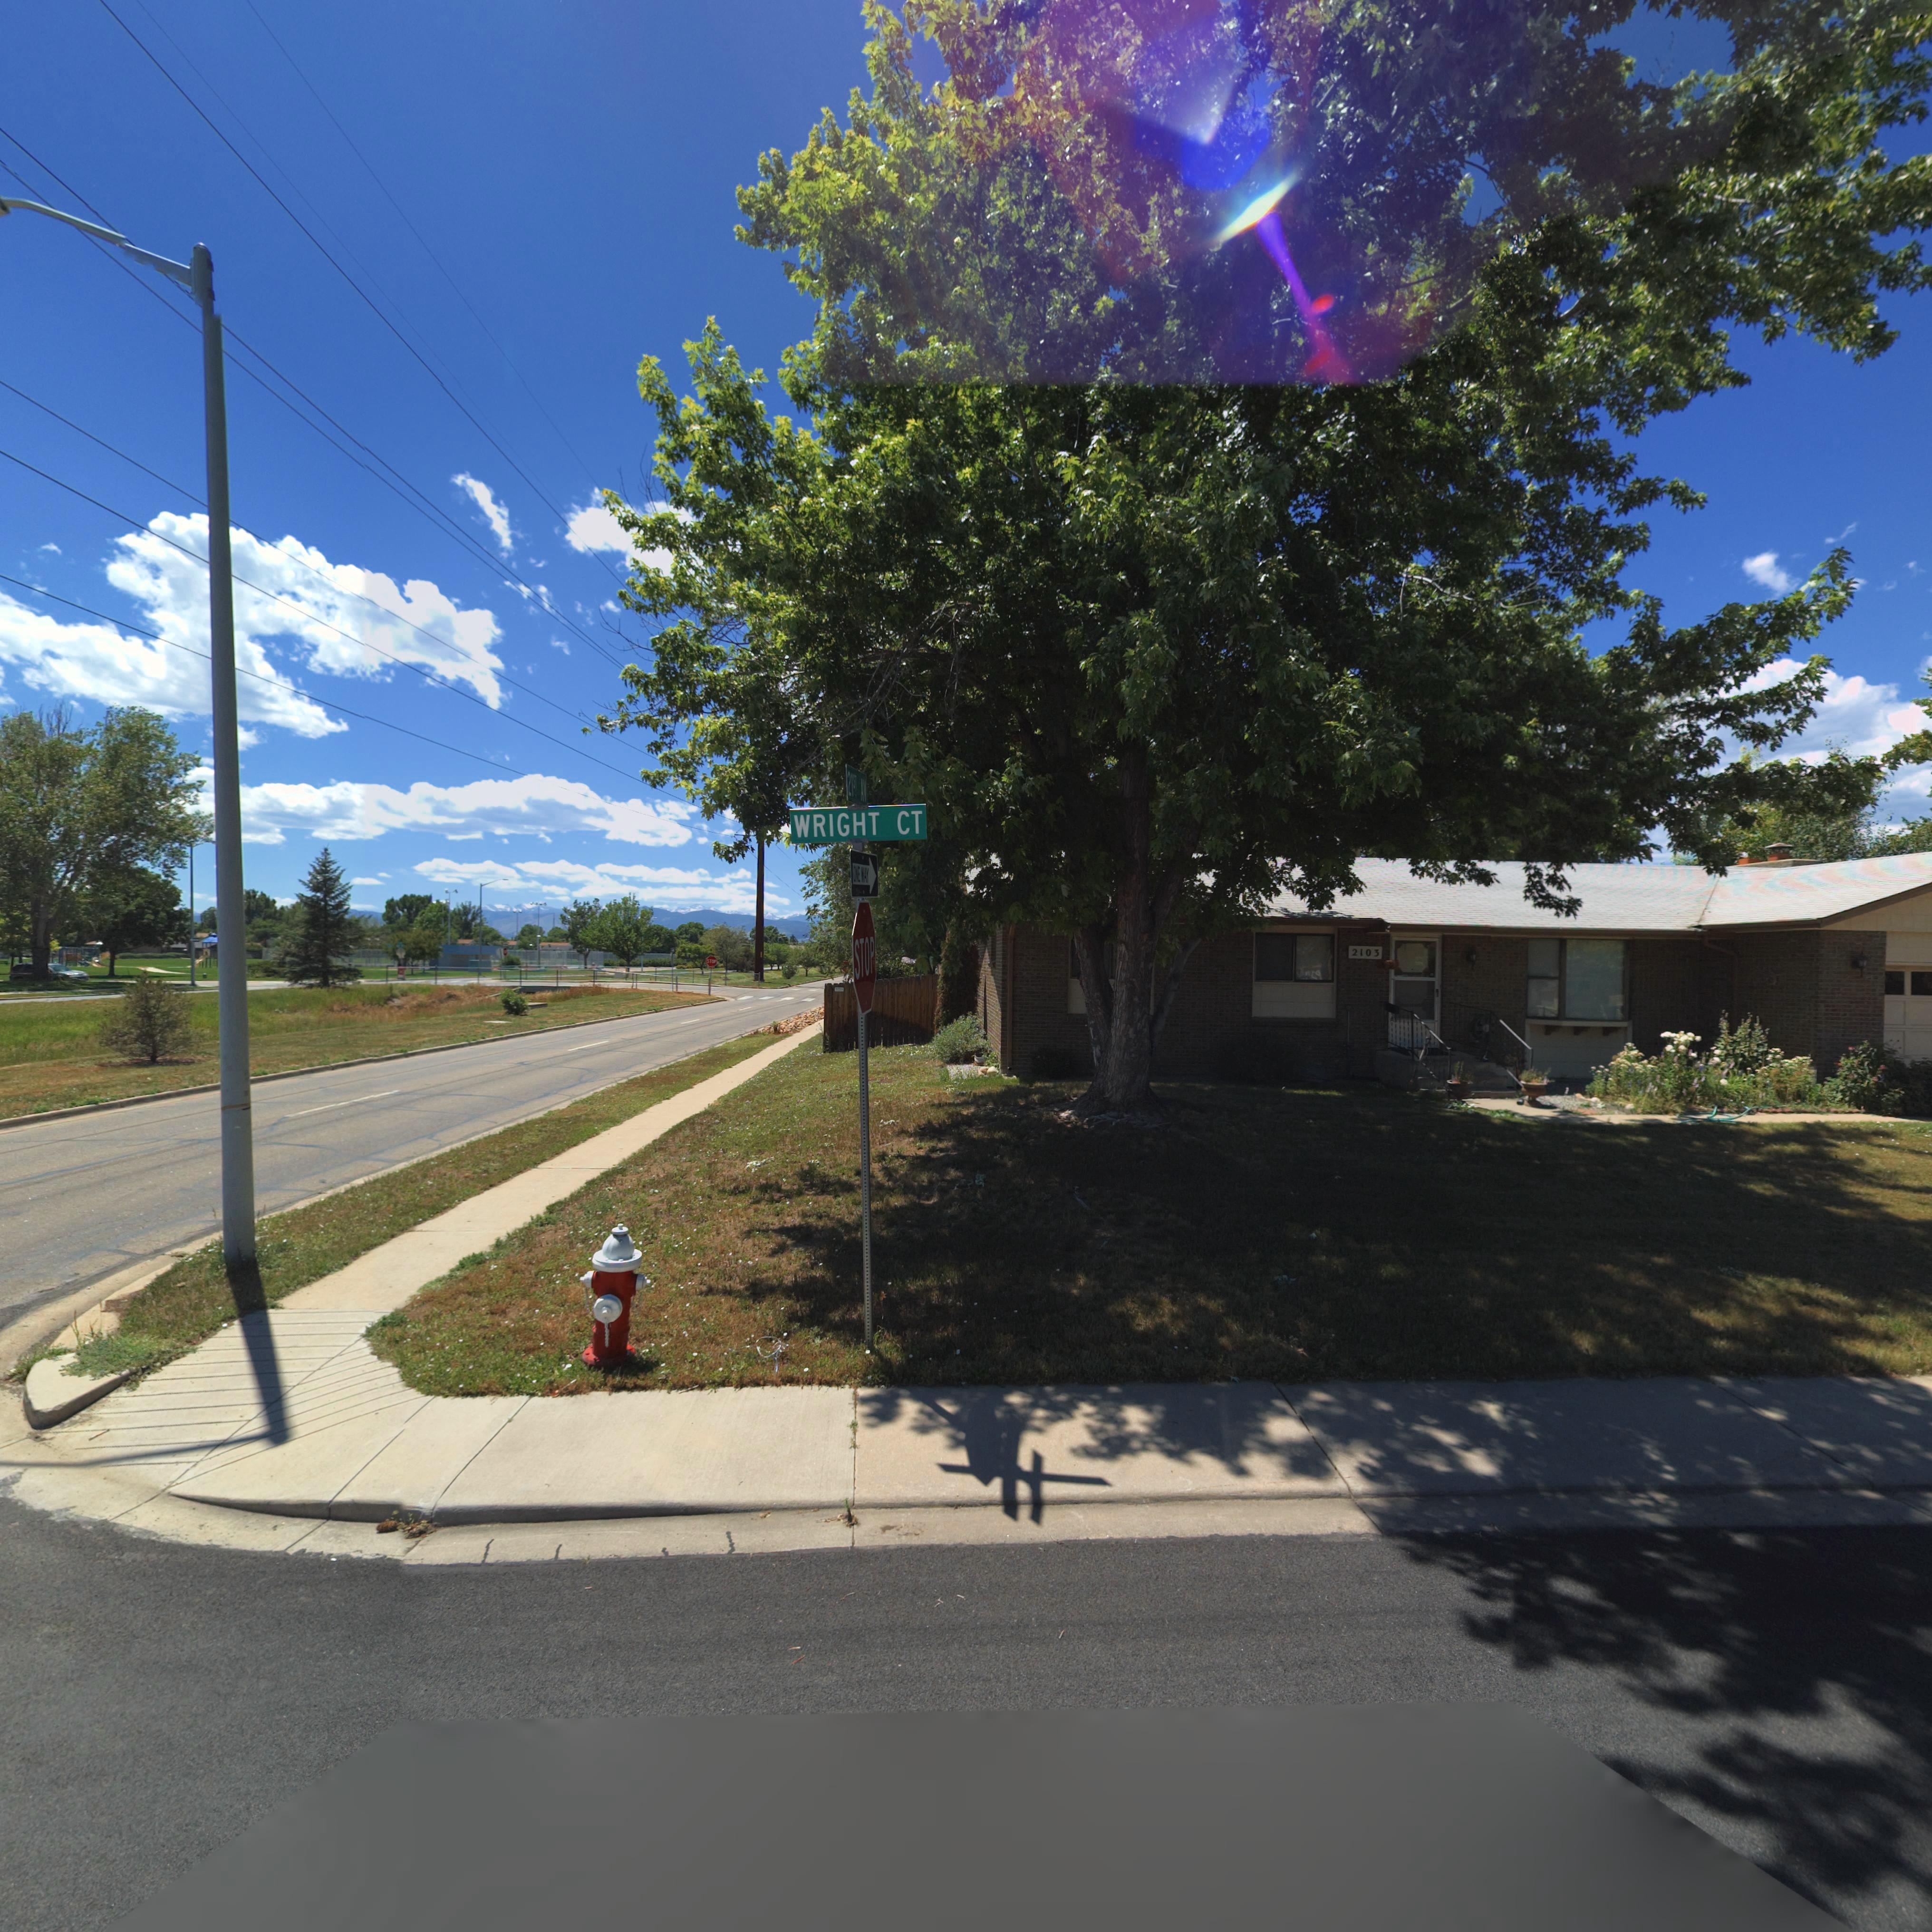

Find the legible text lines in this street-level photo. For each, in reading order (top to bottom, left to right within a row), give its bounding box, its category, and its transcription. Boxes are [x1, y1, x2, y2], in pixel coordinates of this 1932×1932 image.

[847, 771, 866, 802] StreetName: 21ST AV
[792, 810, 924, 839] StreetName: WRIGHT CT
[1351, 948, 1379, 957] StreetNumber: 2103